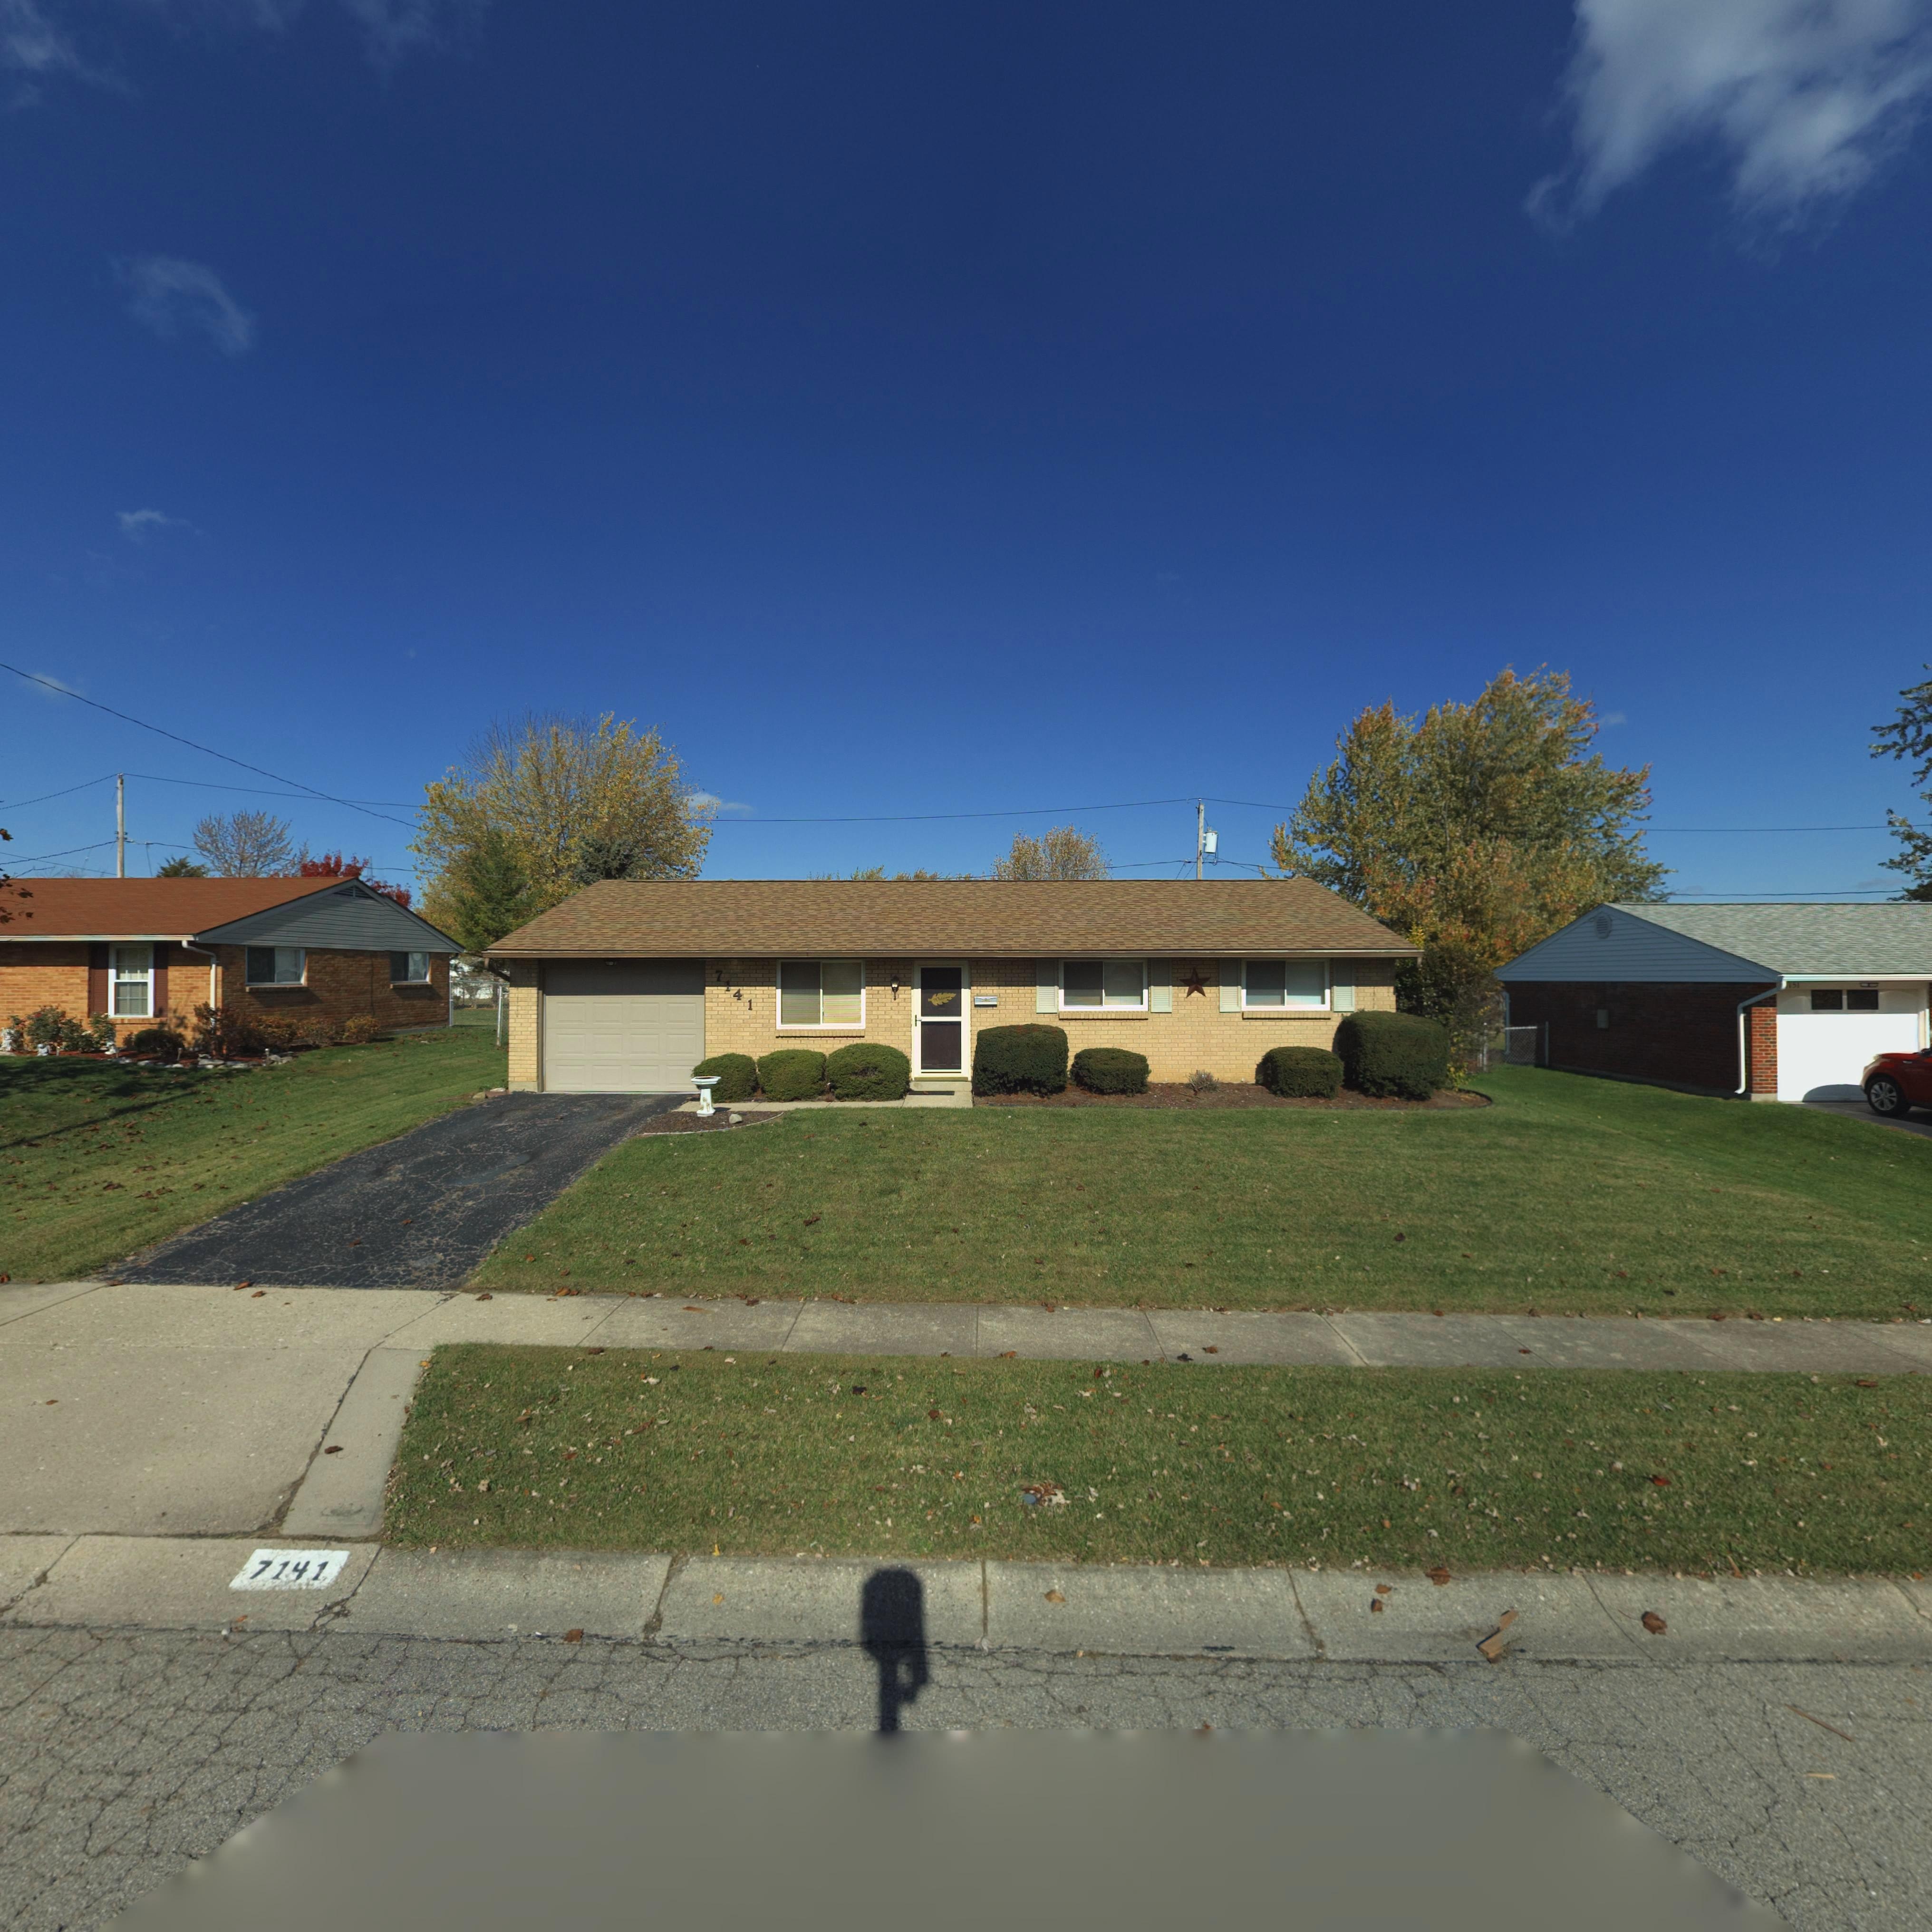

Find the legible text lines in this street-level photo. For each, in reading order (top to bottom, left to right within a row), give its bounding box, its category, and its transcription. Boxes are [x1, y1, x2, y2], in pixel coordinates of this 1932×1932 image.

[713, 969, 754, 1012] StreetNumber: 7141
[248, 1558, 330, 1583] StreetNumber: 7141